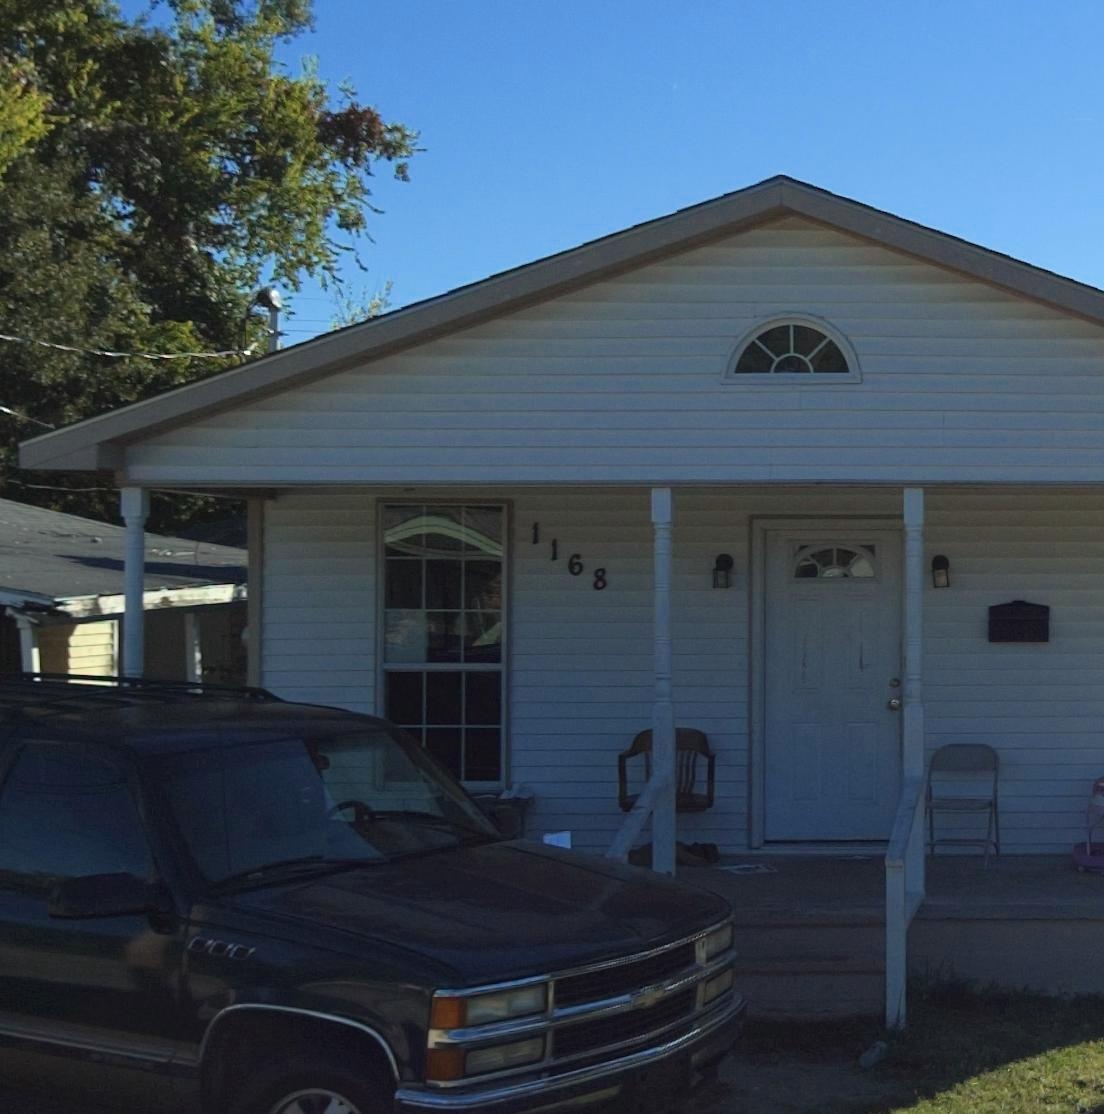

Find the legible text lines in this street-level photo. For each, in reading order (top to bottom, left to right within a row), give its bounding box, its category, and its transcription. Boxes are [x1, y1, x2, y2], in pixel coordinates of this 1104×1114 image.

[529, 519, 609, 593] StreetNumber: 1168